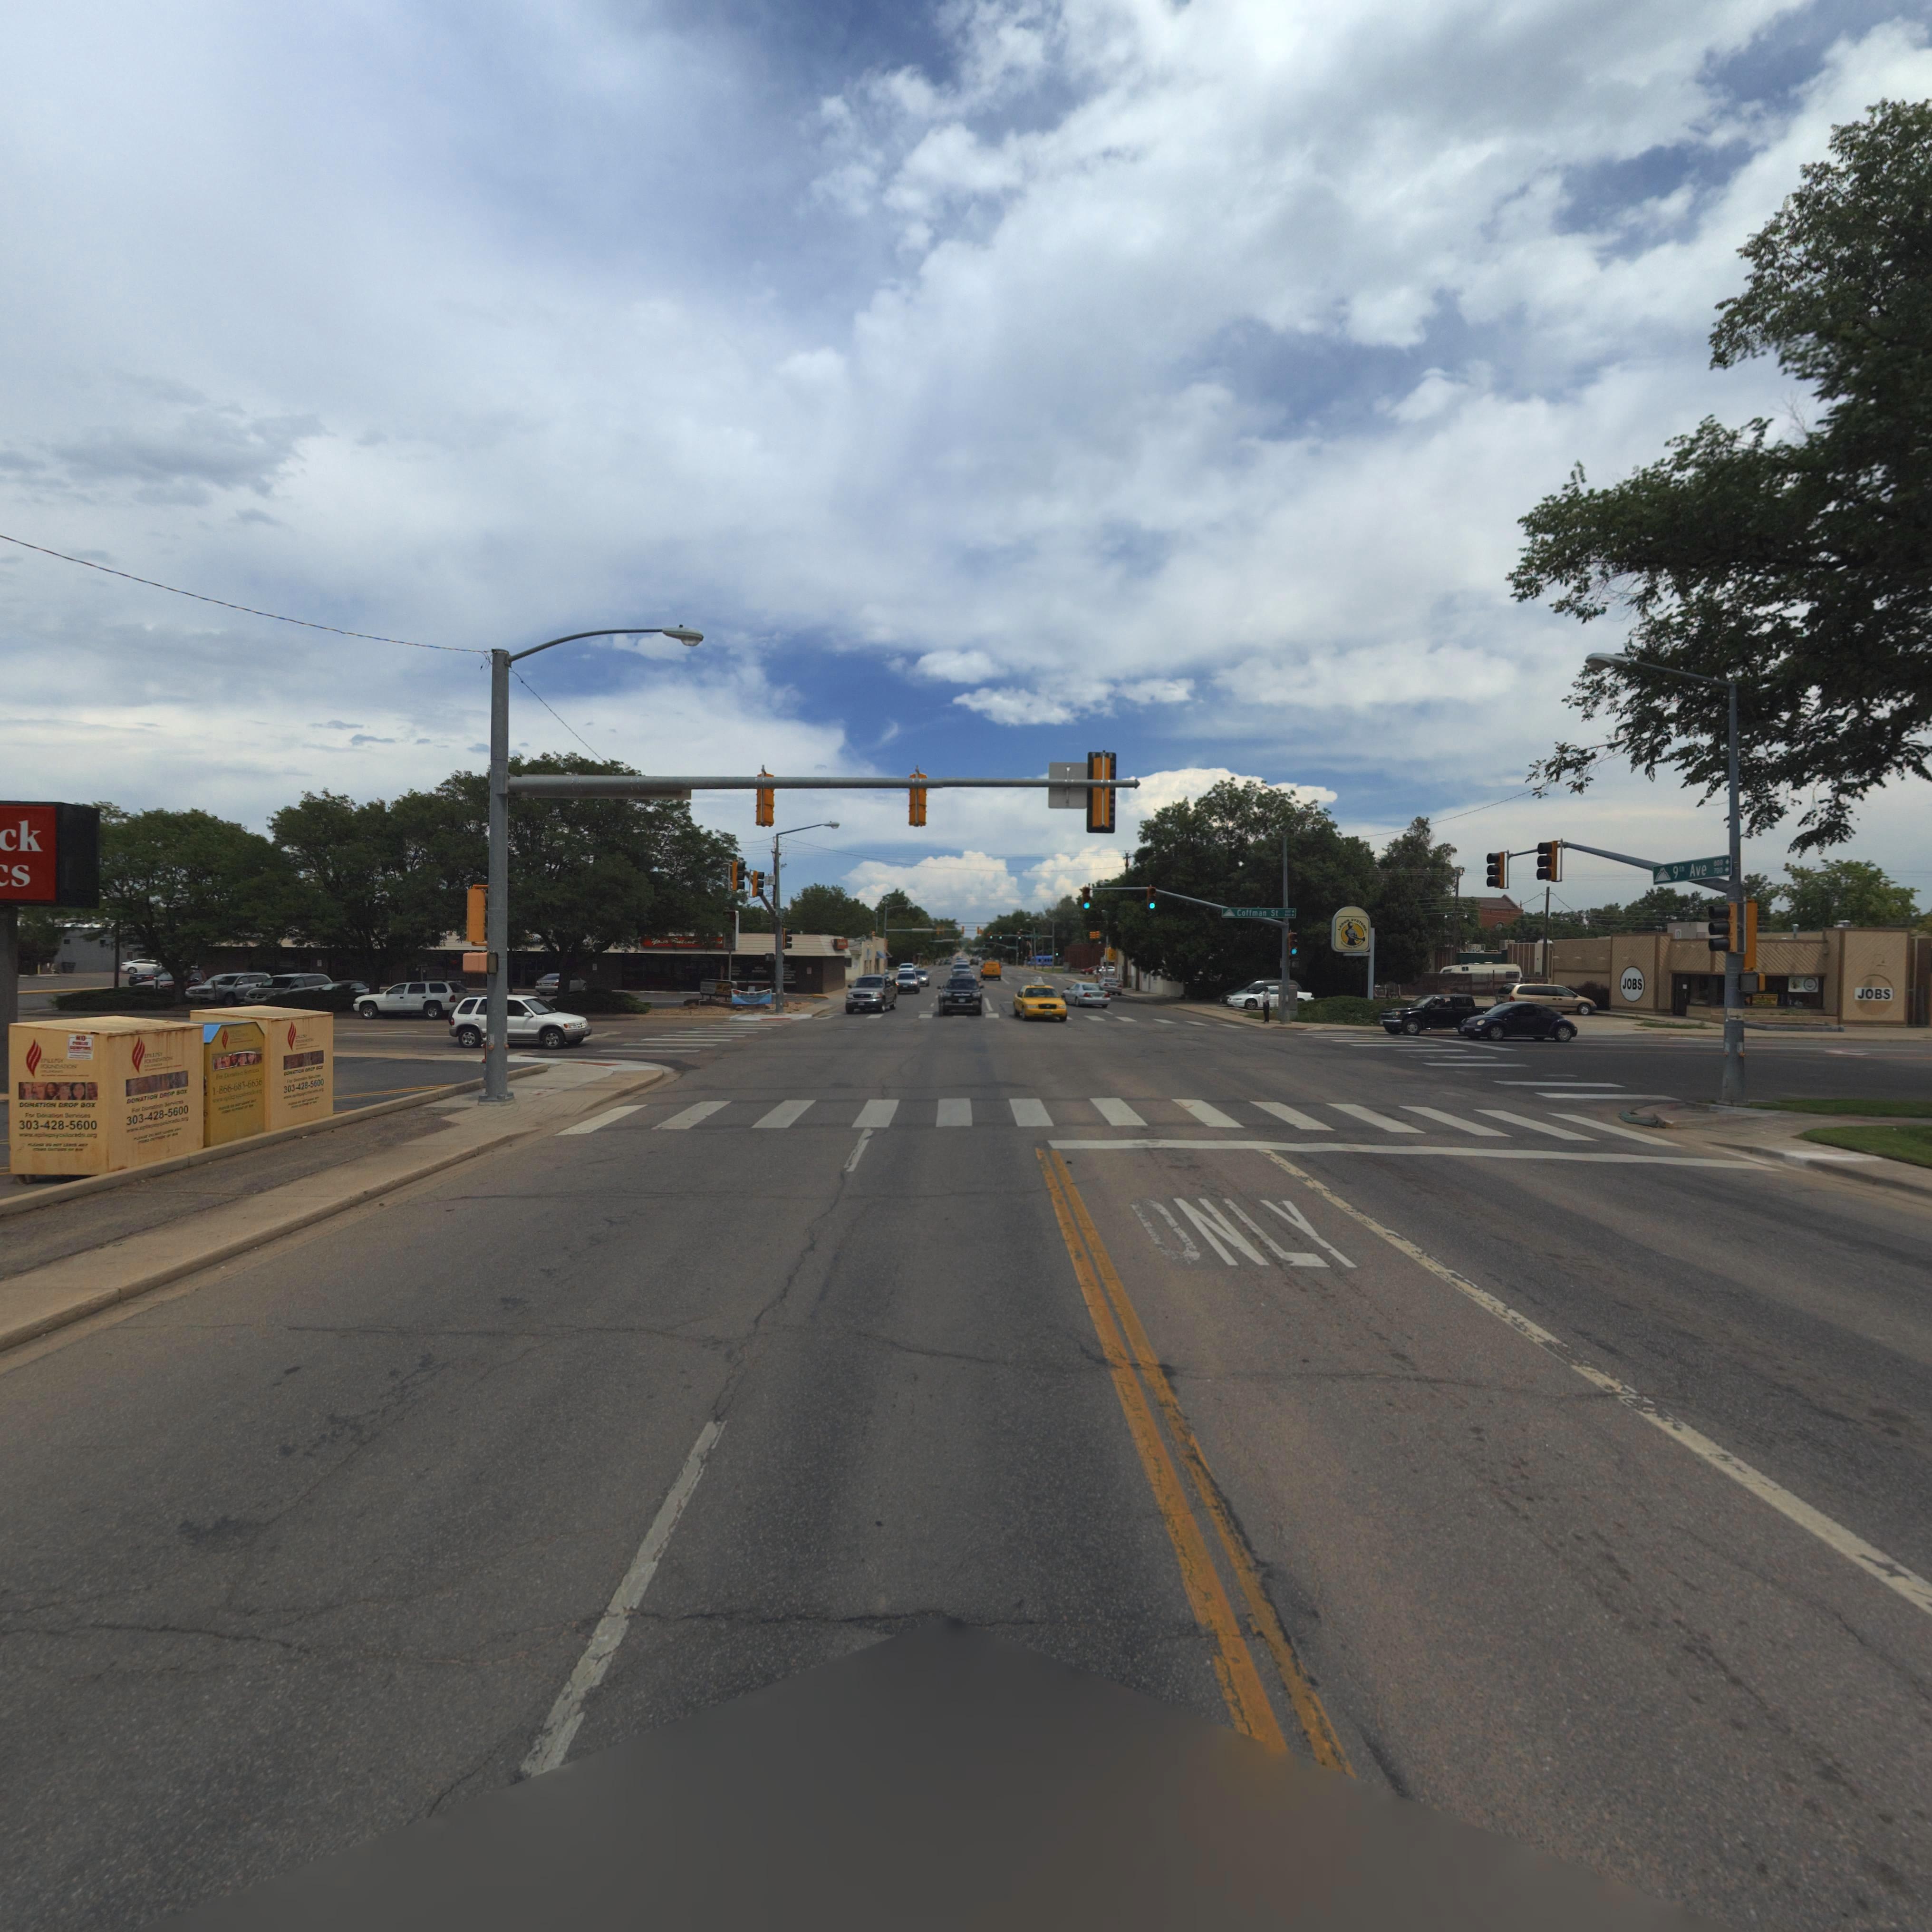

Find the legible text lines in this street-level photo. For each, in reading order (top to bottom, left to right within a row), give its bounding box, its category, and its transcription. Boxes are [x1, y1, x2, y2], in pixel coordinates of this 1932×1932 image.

[1713, 859, 1723, 867] StreetNumberRange: 600
[1672, 863, 1706, 879] StreetName: 9th Ave
[1714, 867, 1729, 874] StreetNumberRange: 700->
[1237, 909, 1278, 916] StreetName: Coffman St
[1337, 918, 1367, 931] BusinessName: LABOR SYSTEMS
[650, 937, 722, 946] BusinessName: Your *u**** *****
[1623, 978, 1642, 990] BusinessName: JOBS
[1857, 988, 1890, 999] BusinessName: JOBS